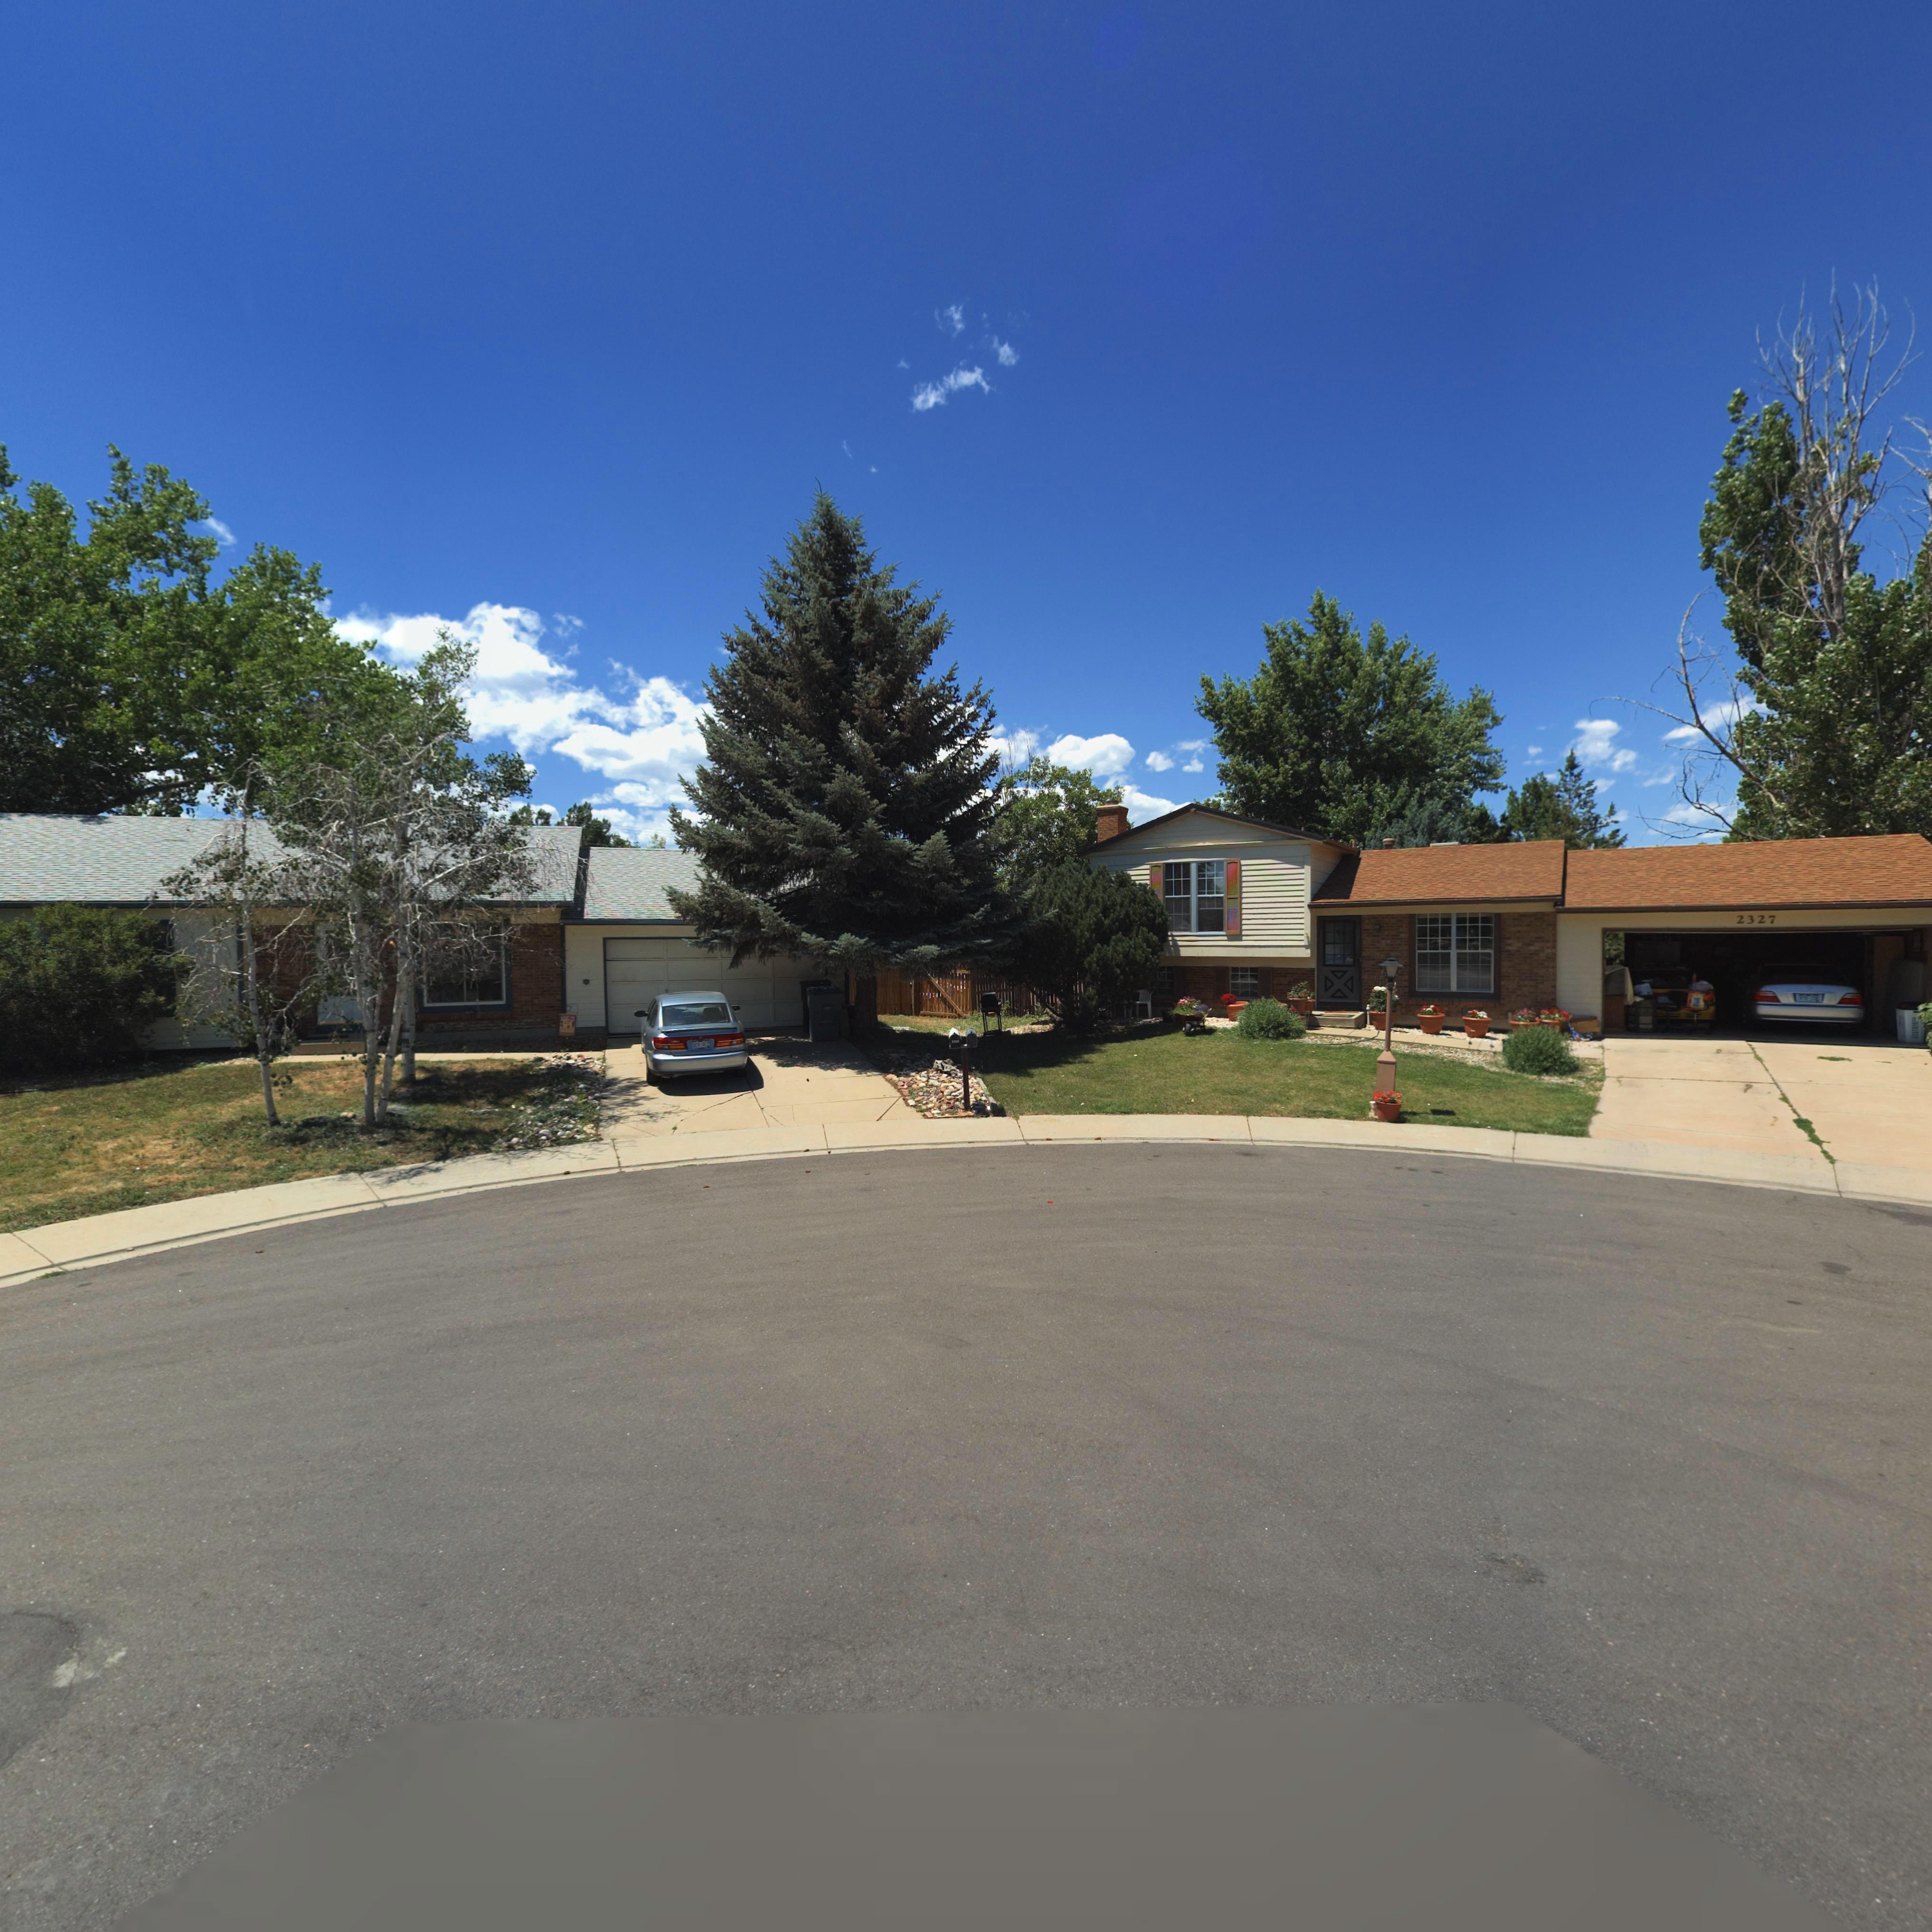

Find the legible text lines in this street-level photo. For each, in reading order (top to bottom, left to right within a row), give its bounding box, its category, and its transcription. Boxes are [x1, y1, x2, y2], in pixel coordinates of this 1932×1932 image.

[1735, 914, 1777, 925] StreetNumber: 2327